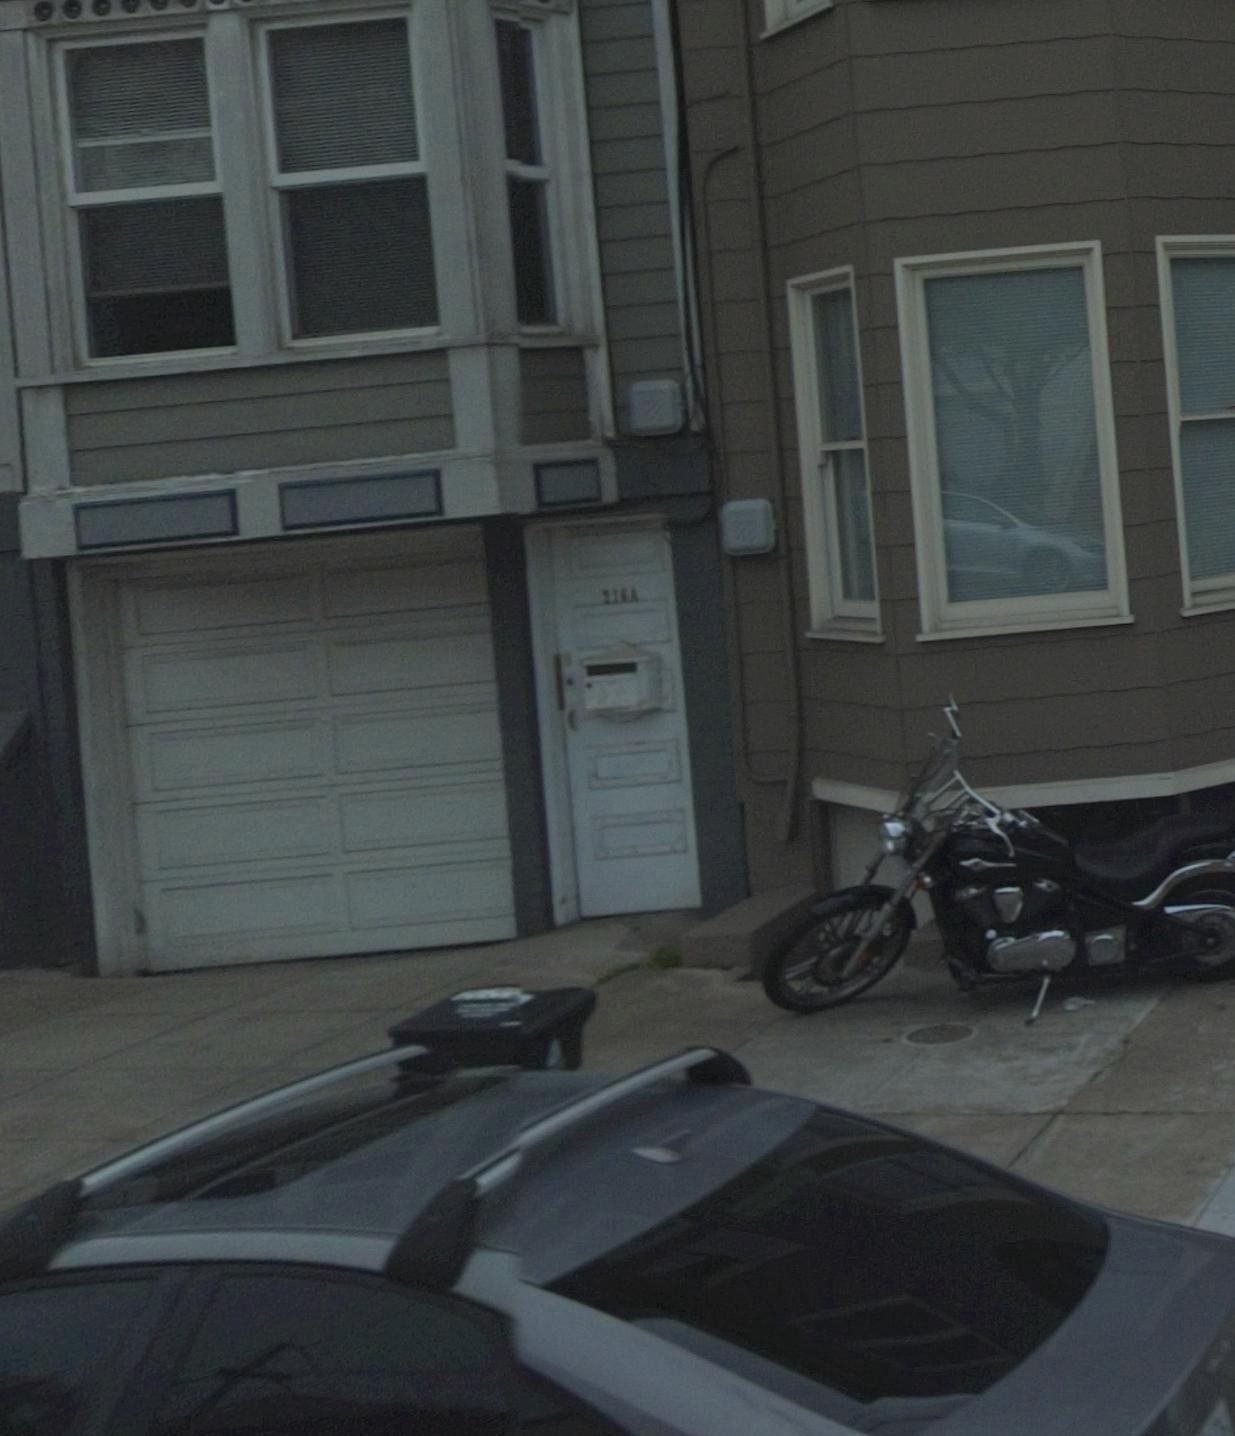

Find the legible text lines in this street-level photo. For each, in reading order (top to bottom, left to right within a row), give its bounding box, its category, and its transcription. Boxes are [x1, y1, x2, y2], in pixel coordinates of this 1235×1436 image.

[599, 586, 641, 605] StreetNumber: 216A